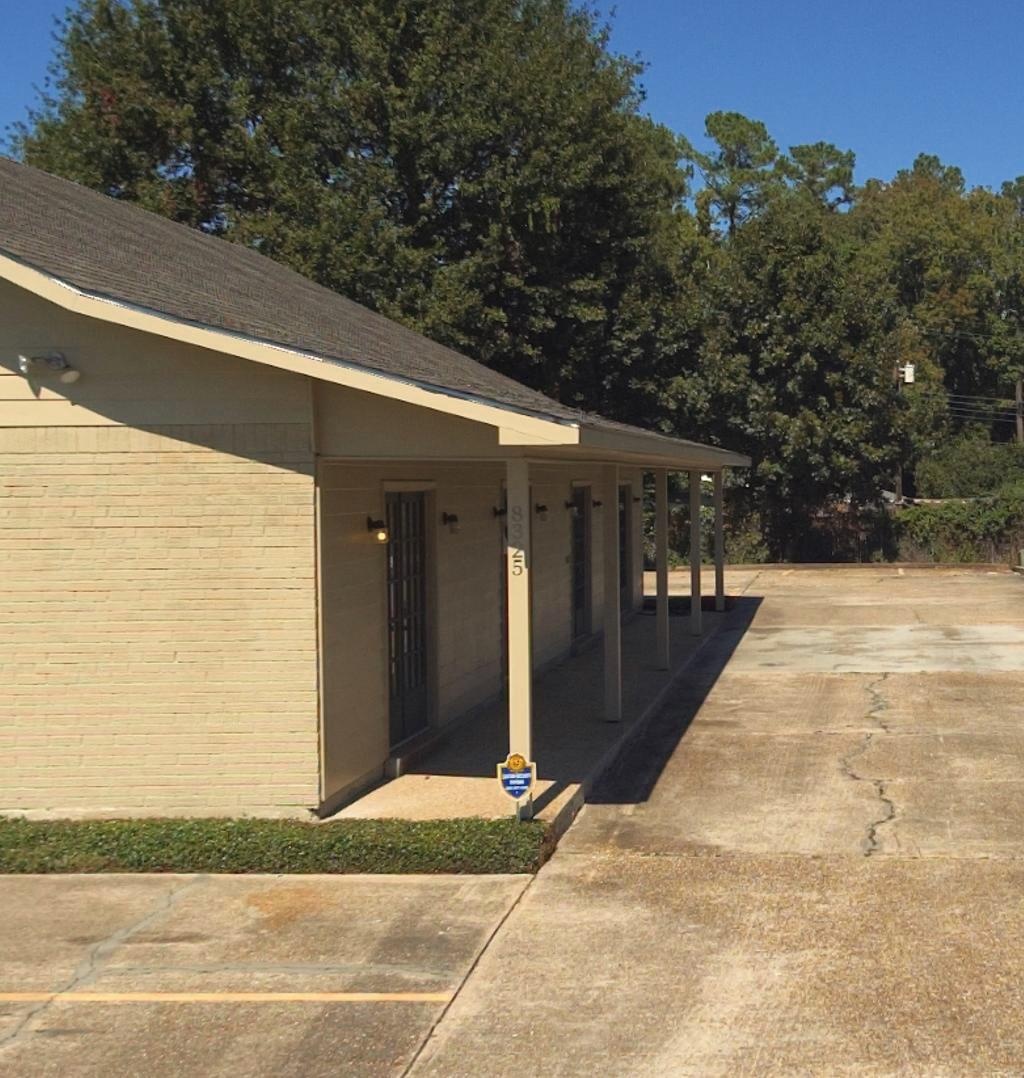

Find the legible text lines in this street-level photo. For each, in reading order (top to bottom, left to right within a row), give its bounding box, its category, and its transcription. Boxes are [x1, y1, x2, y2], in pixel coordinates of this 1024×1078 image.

[509, 503, 526, 579] StreetNumber: 8325